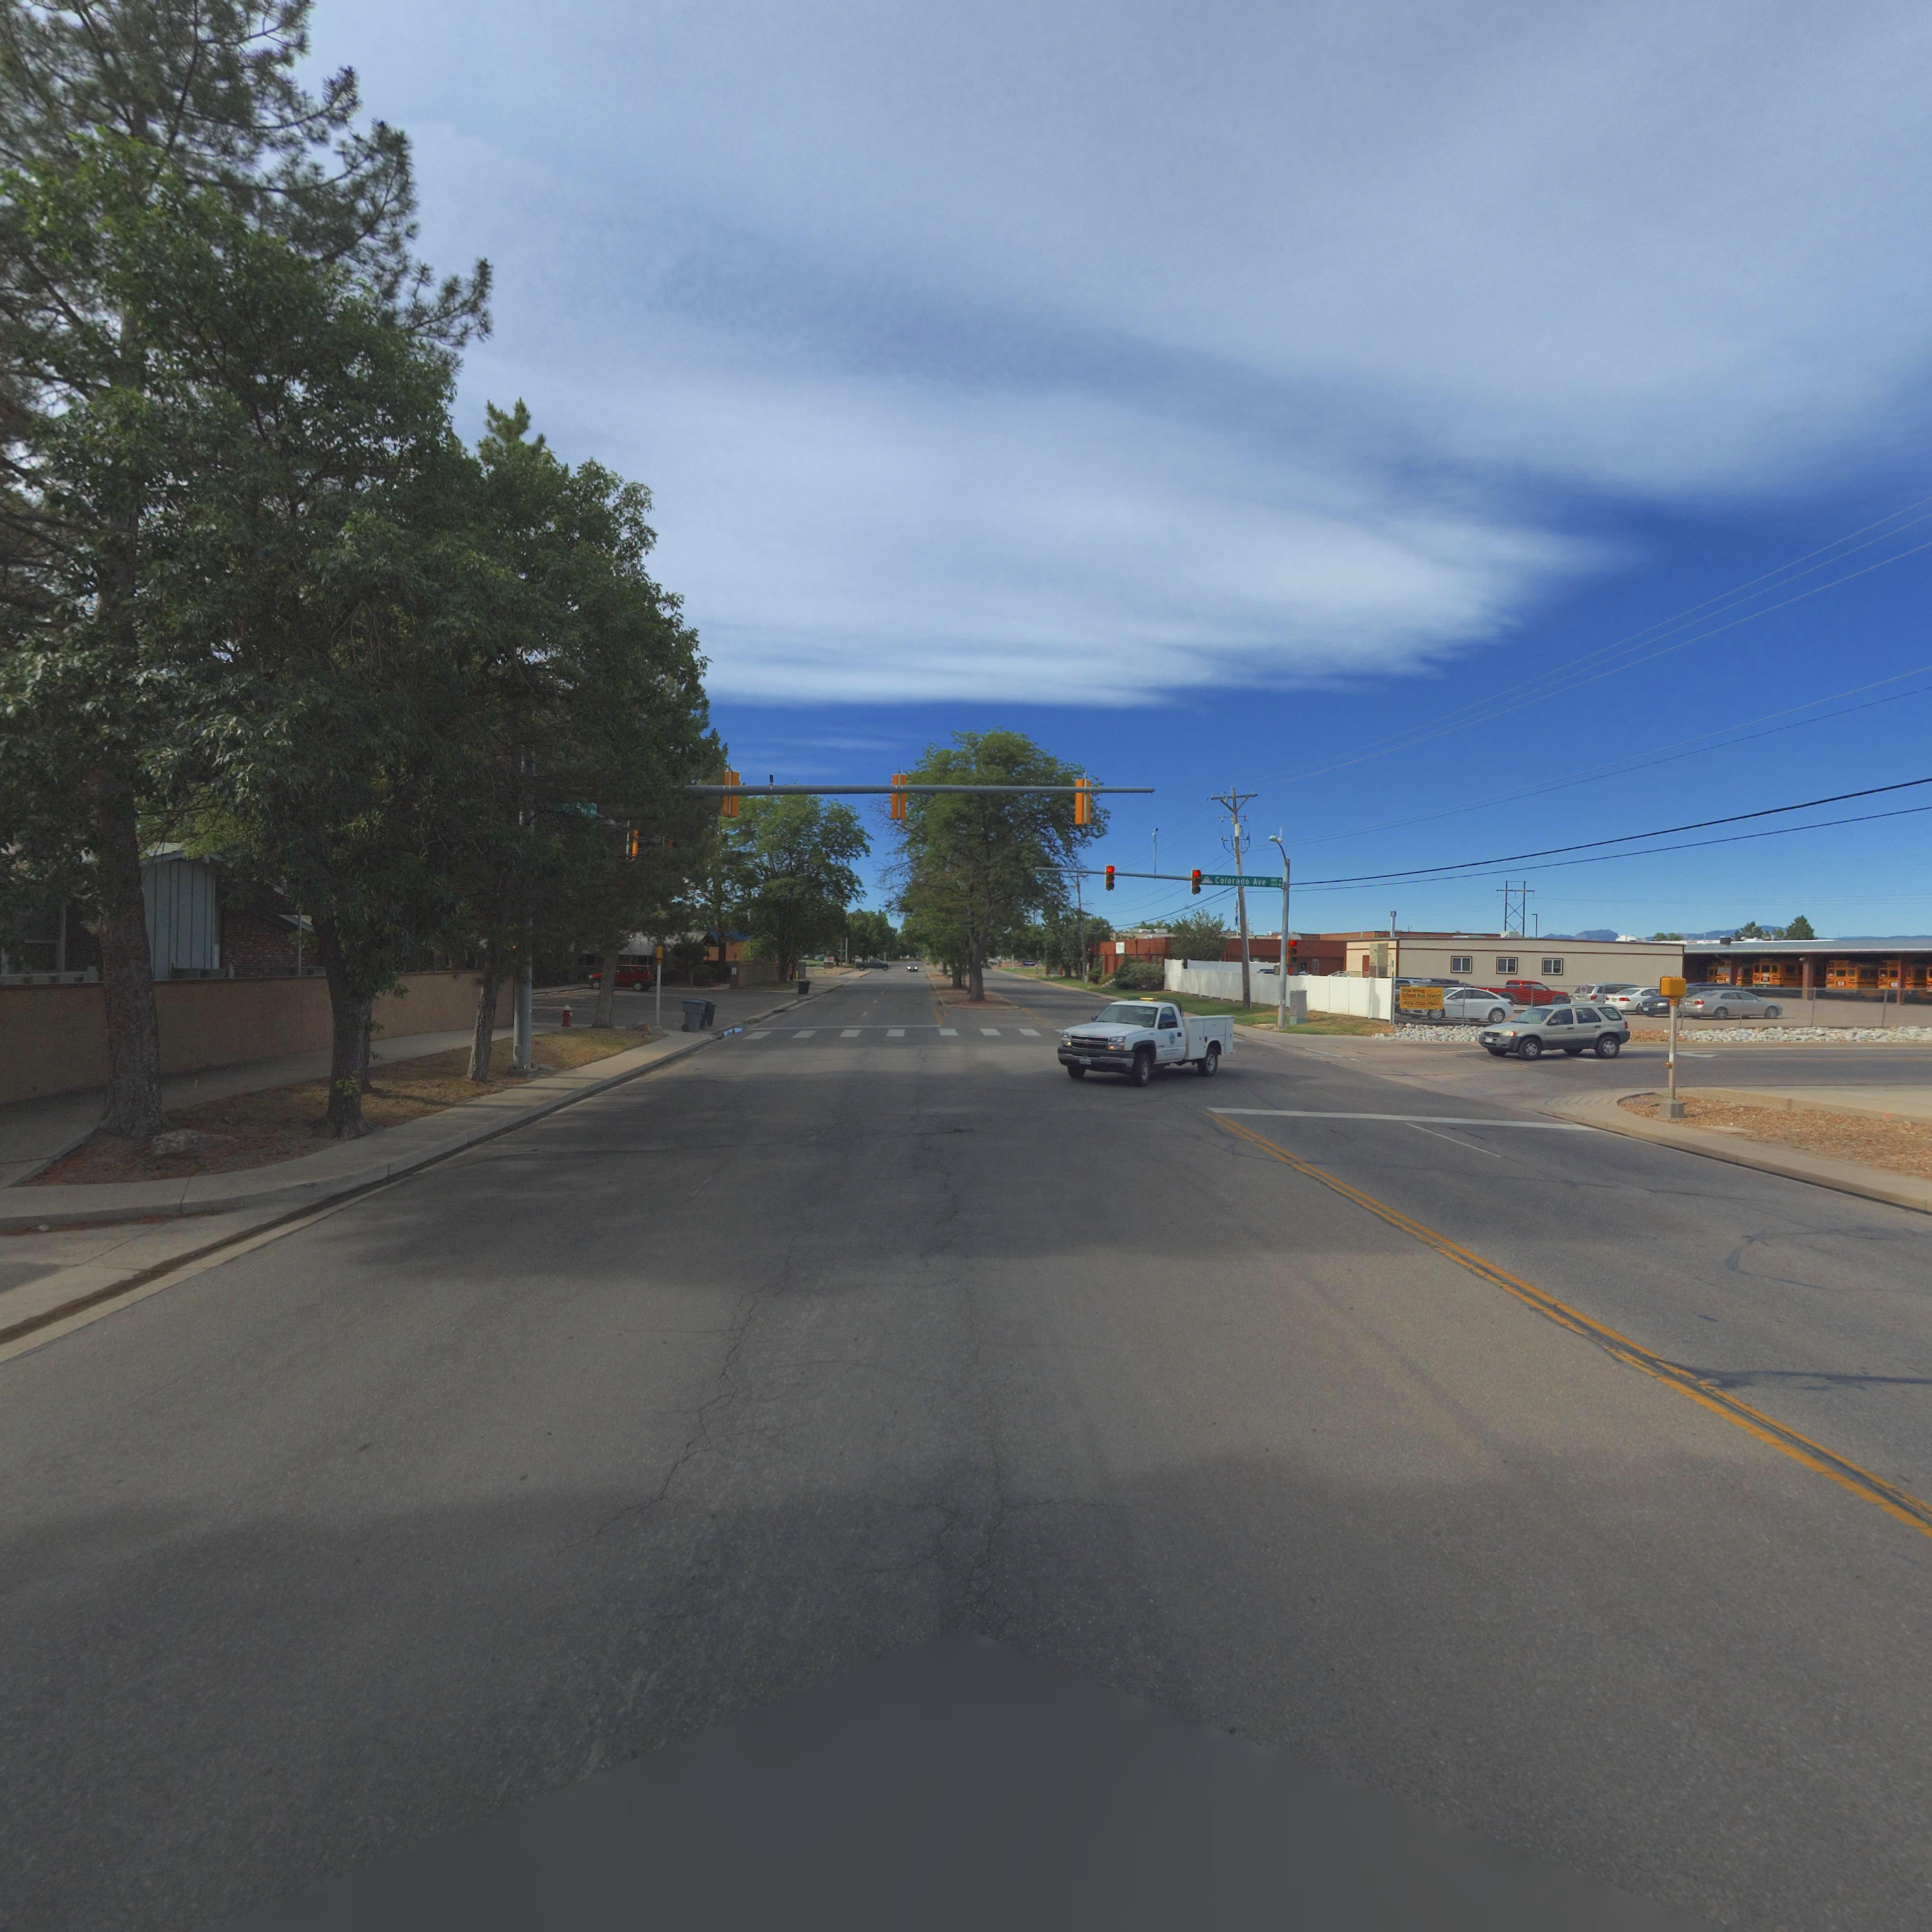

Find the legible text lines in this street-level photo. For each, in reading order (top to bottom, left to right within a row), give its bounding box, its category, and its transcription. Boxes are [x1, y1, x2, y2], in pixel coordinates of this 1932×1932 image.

[1215, 877, 1266, 886] StreetName: Colorado Ave